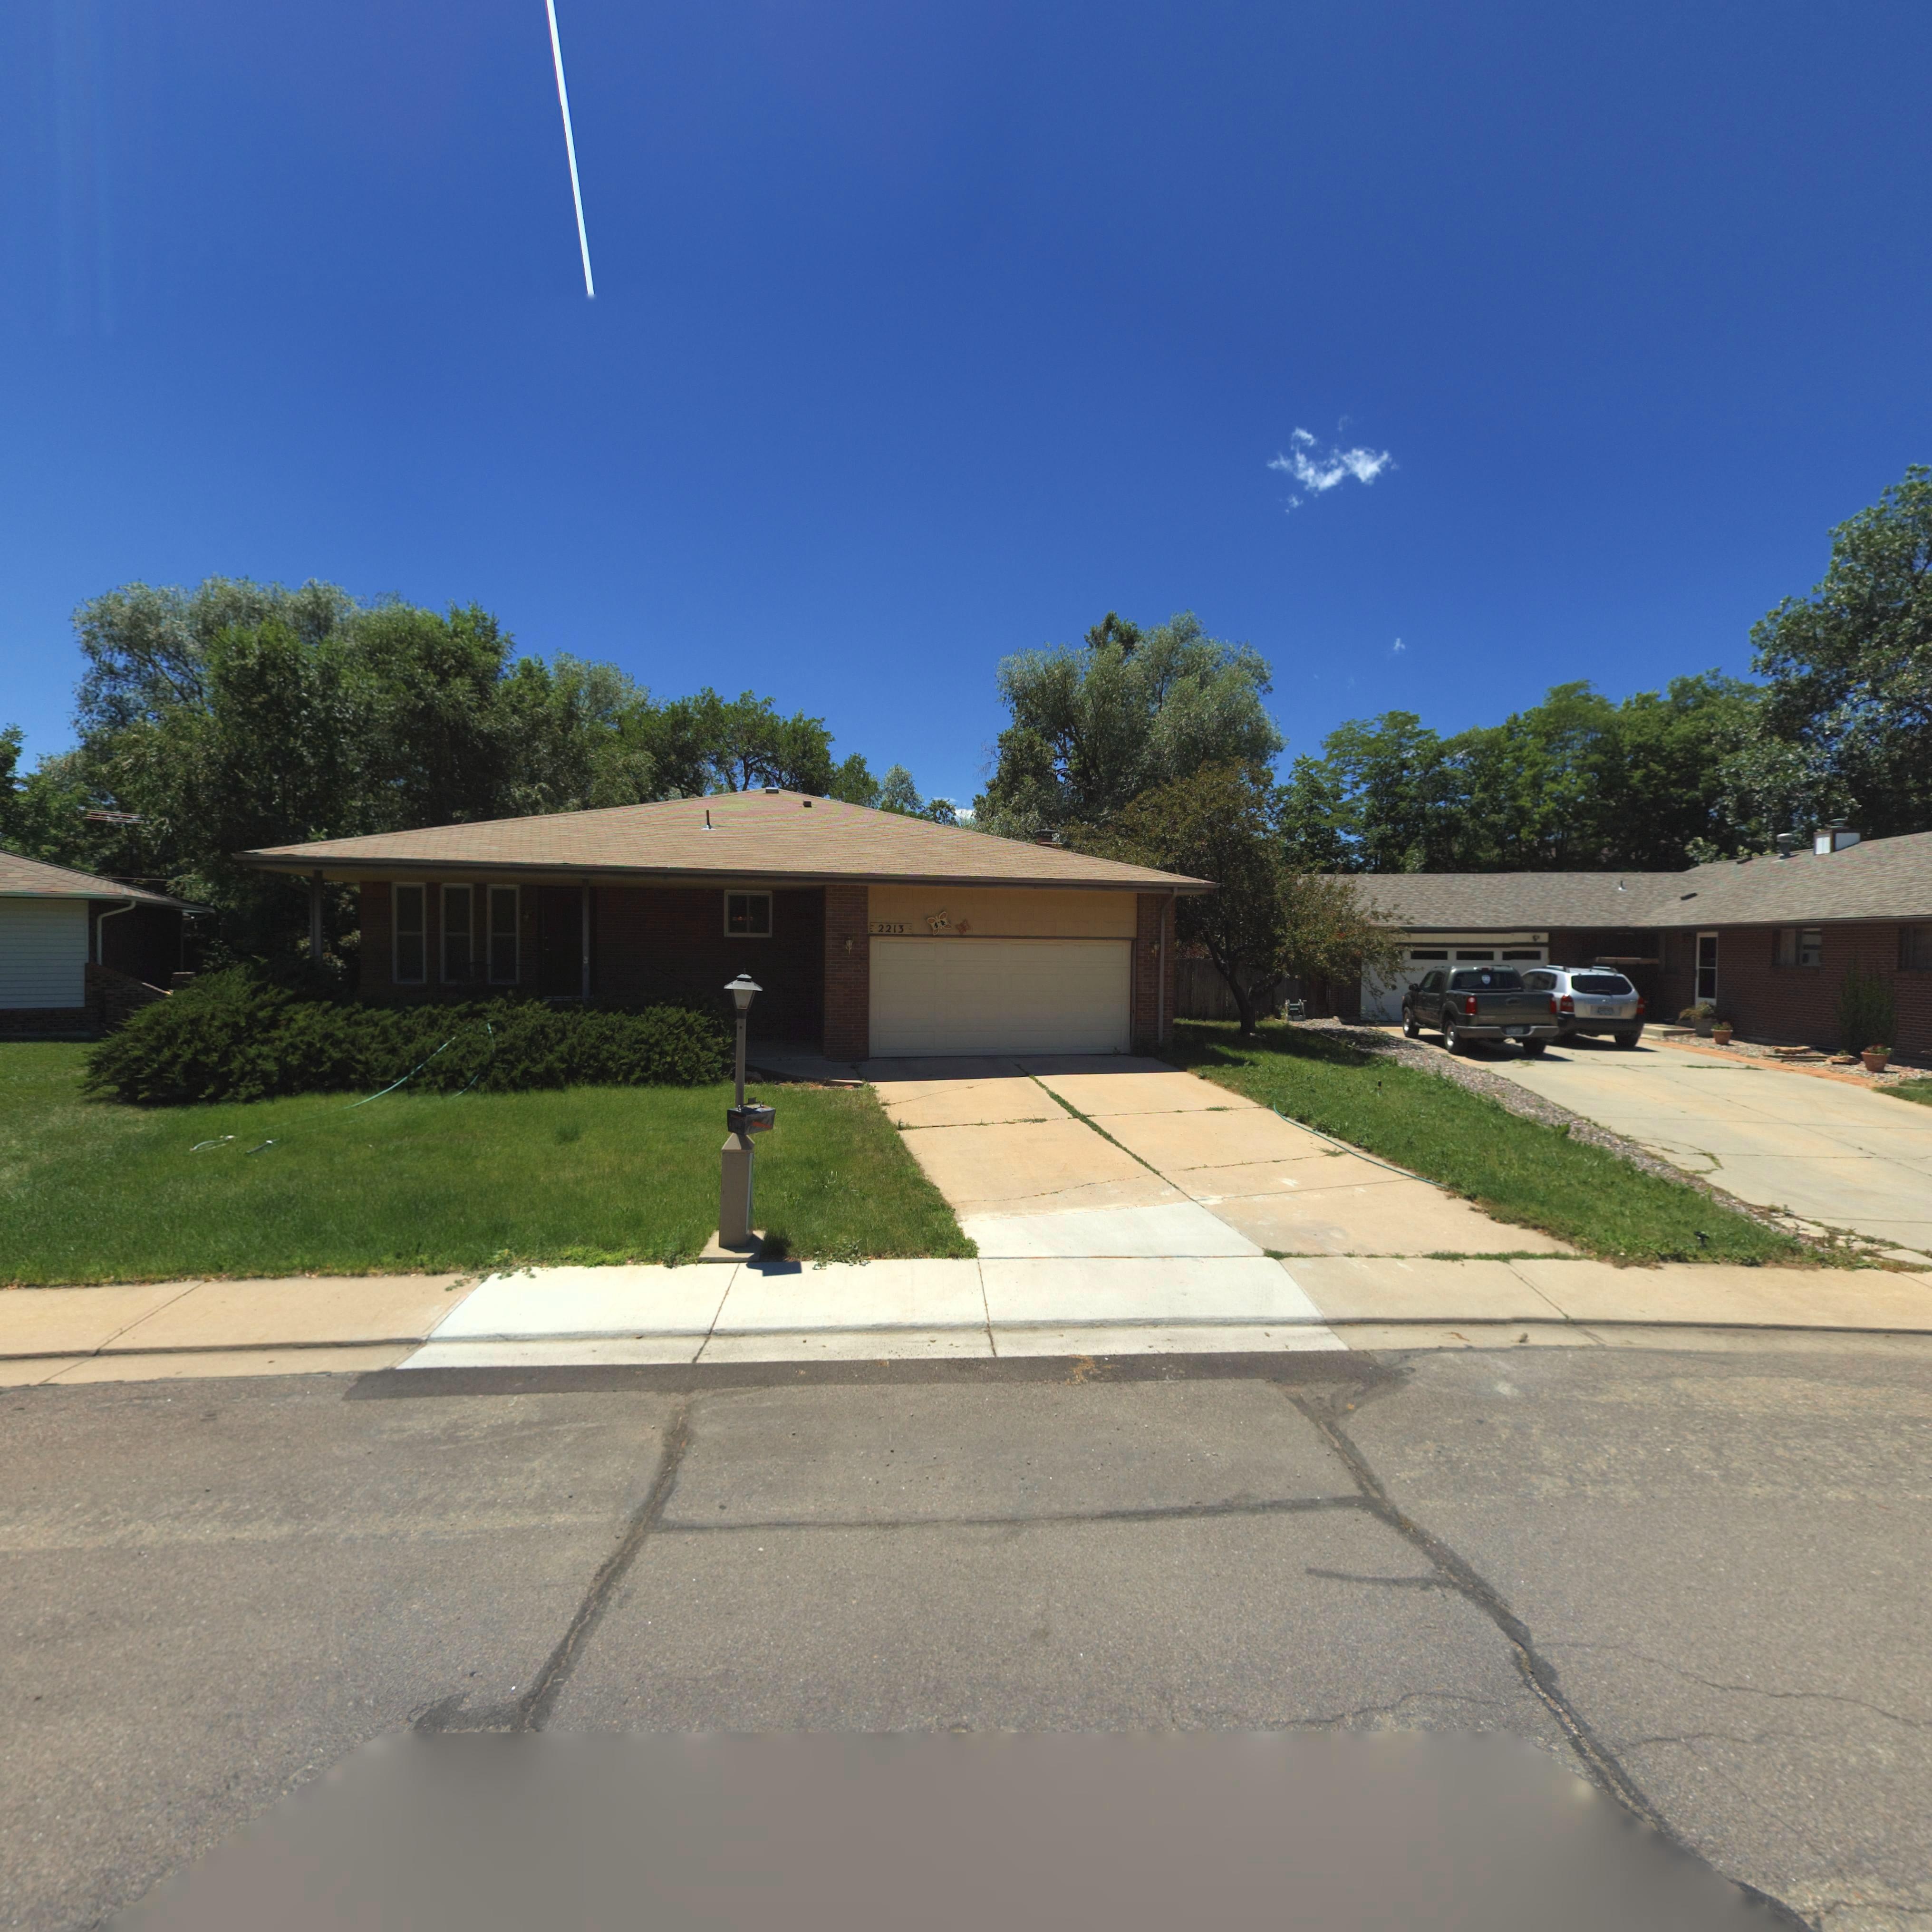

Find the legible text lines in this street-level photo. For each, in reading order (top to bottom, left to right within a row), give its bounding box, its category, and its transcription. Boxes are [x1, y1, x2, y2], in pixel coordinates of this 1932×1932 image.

[878, 924, 904, 933] StreetNumber: 2213